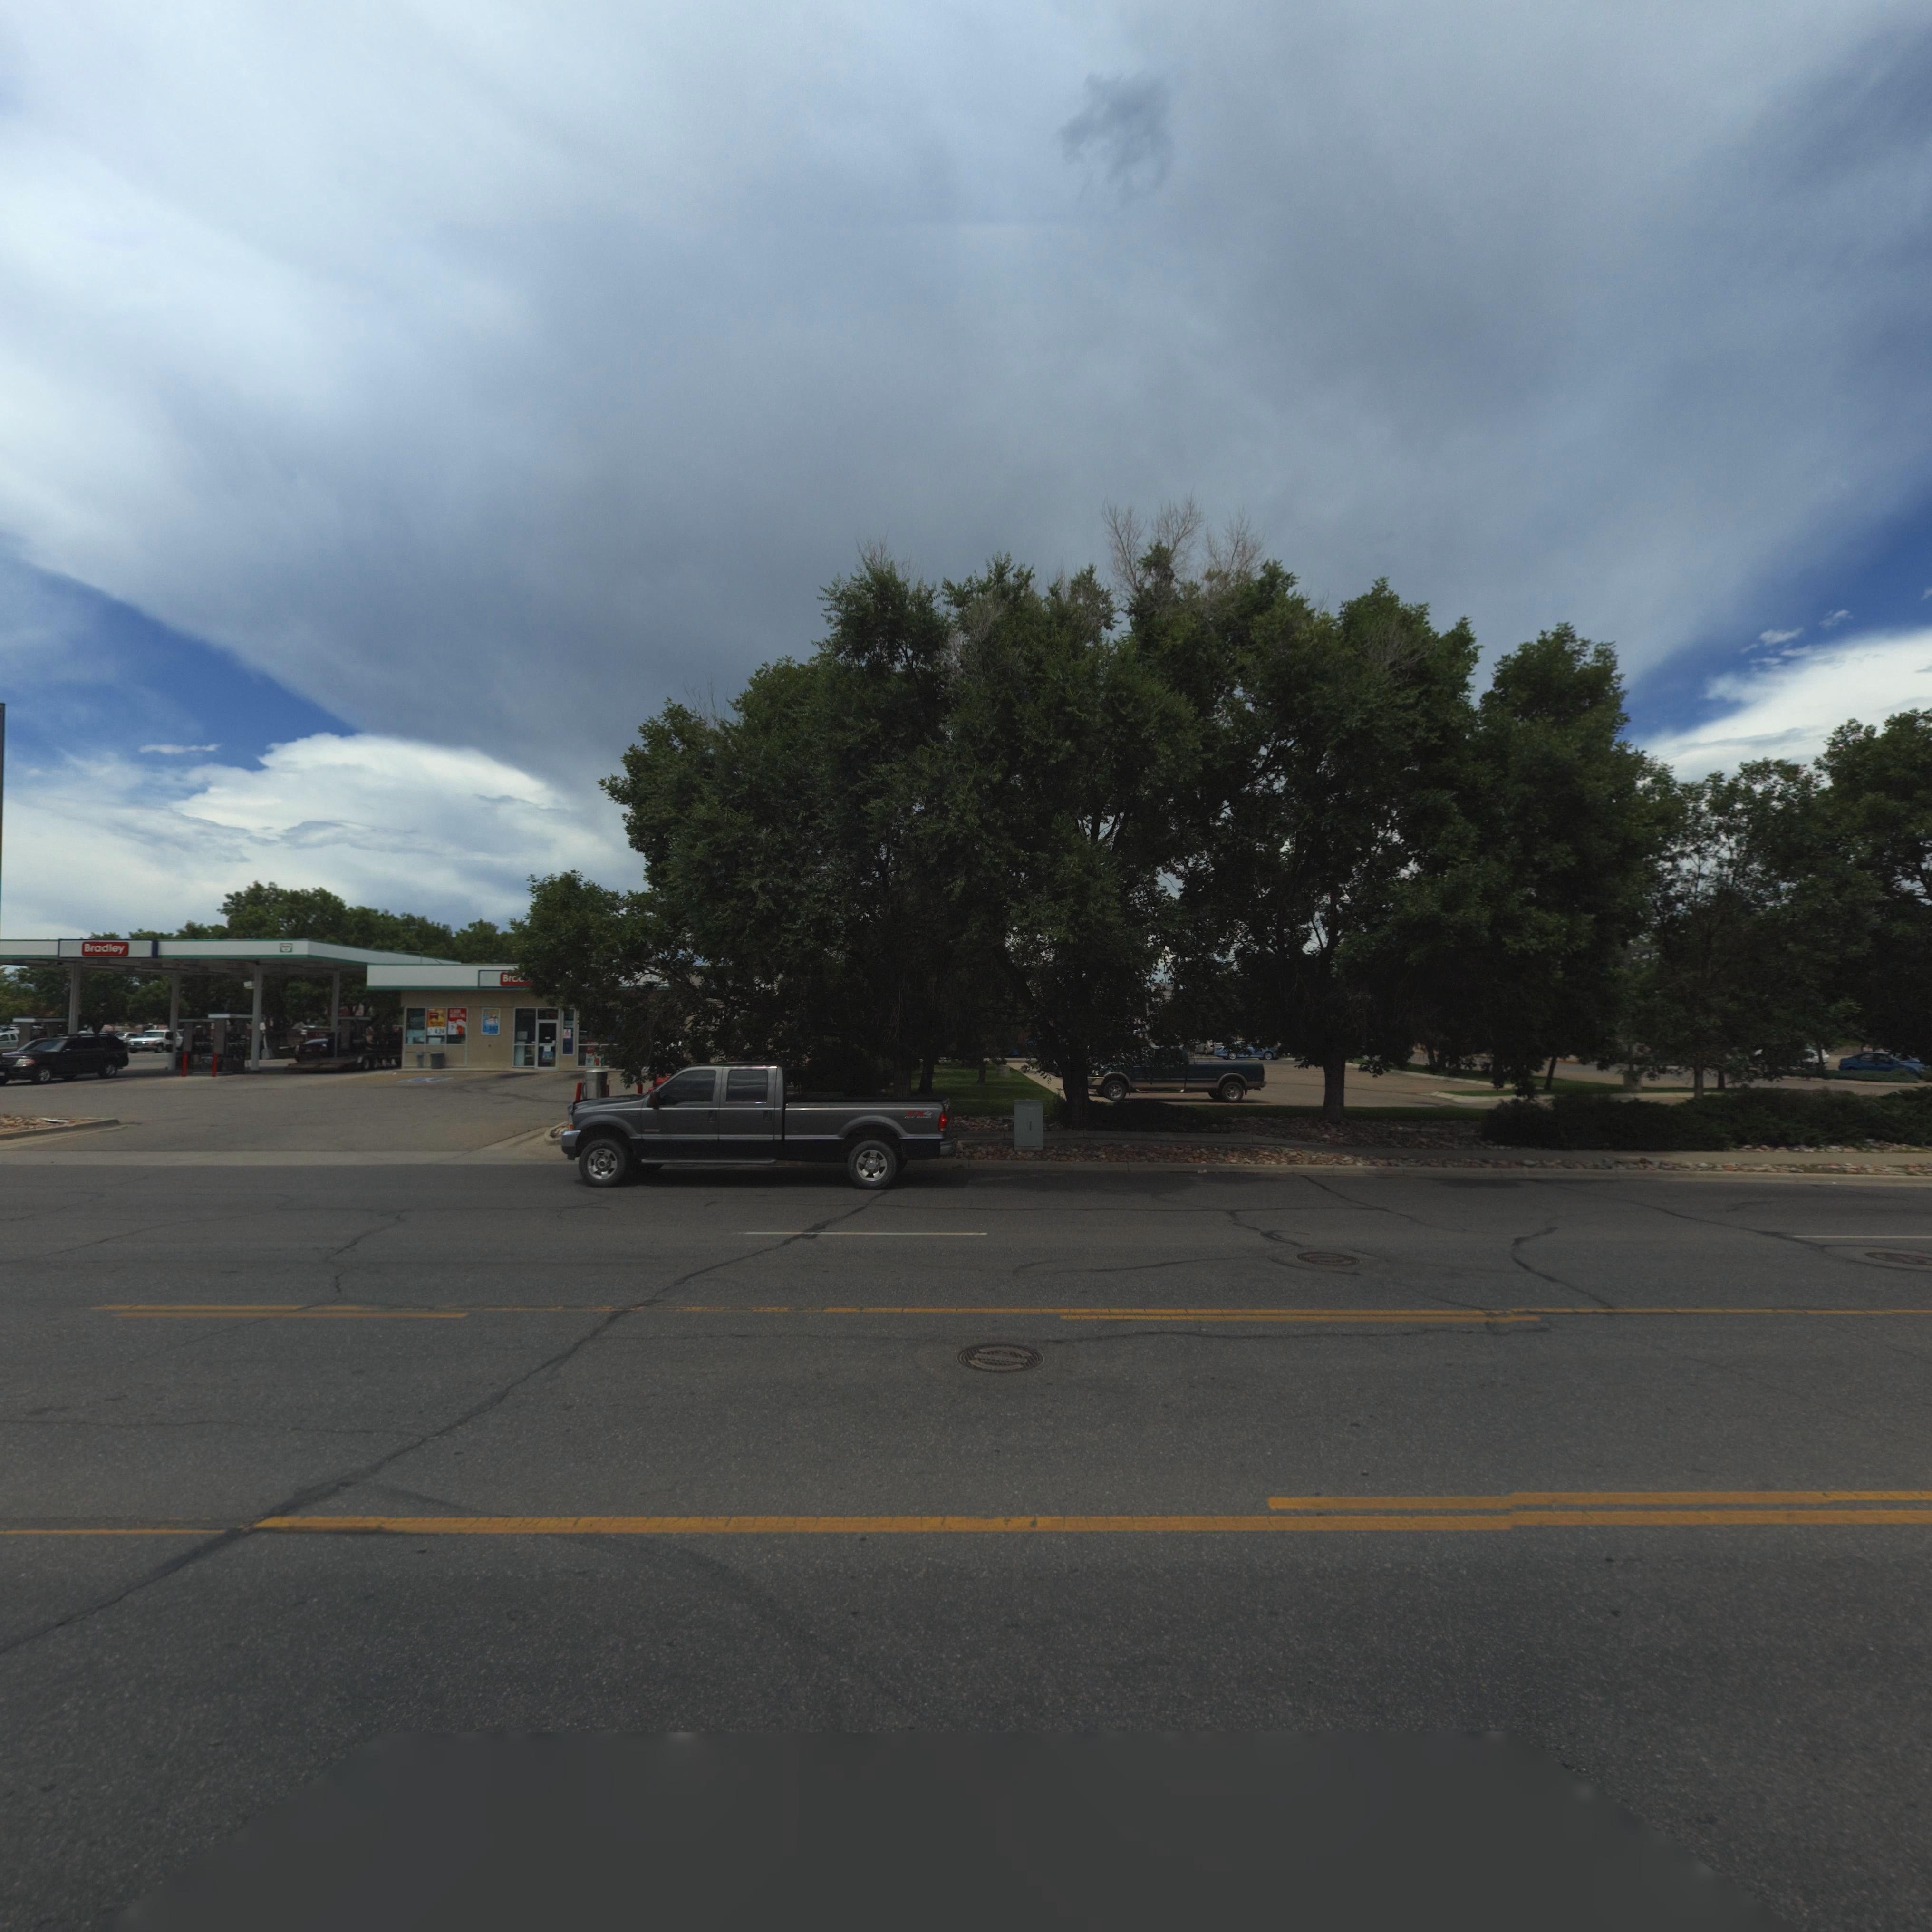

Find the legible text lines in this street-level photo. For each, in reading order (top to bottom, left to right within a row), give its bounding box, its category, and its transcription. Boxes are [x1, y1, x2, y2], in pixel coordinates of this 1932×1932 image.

[84, 943, 126, 955] BusinessName: B**dley
[502, 974, 519, 982] None: B**